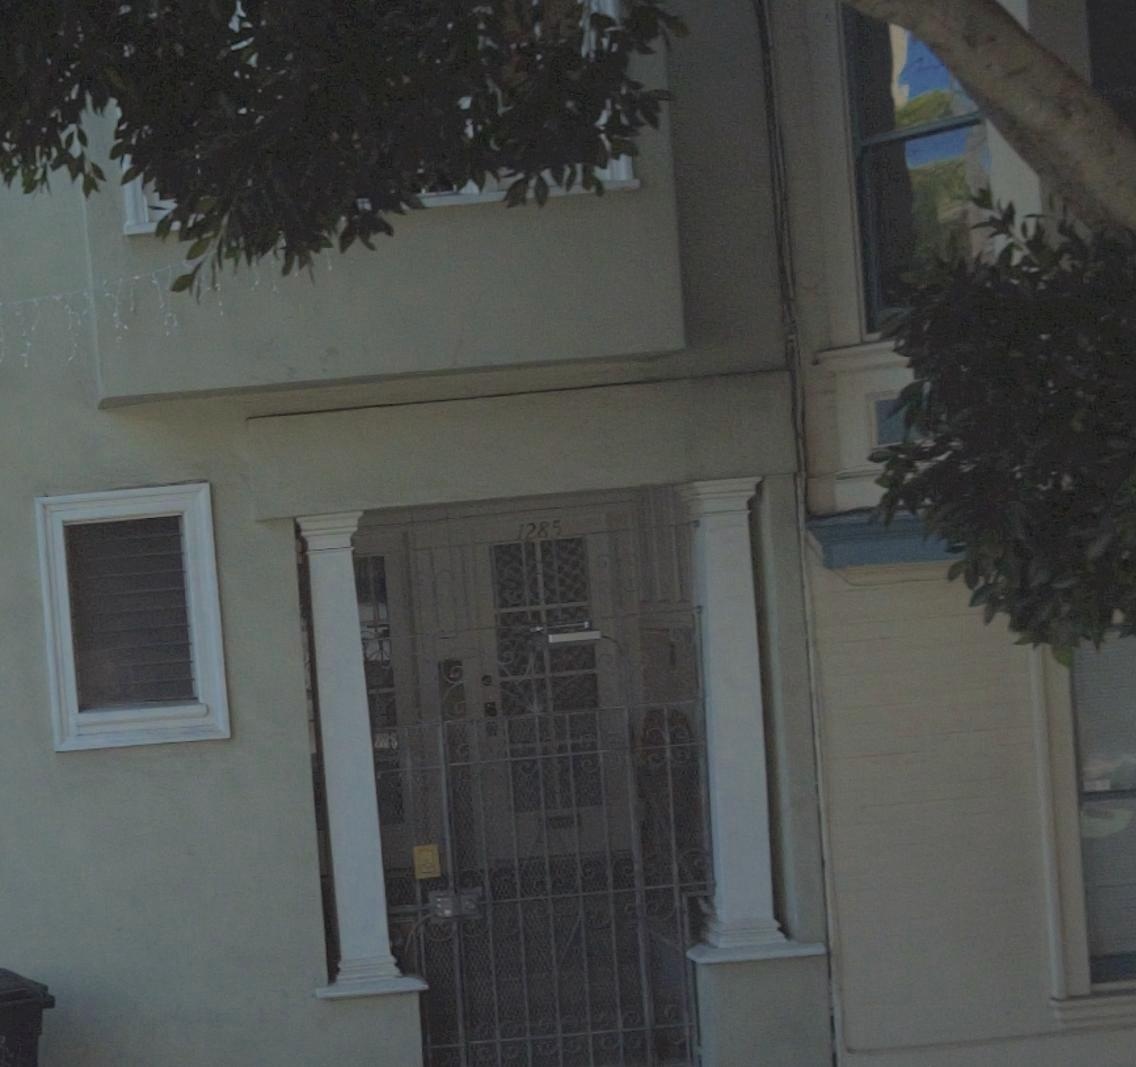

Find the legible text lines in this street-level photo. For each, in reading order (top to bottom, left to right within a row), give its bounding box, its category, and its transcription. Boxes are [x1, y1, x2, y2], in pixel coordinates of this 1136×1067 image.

[514, 518, 565, 543] StreetNumber: 1285